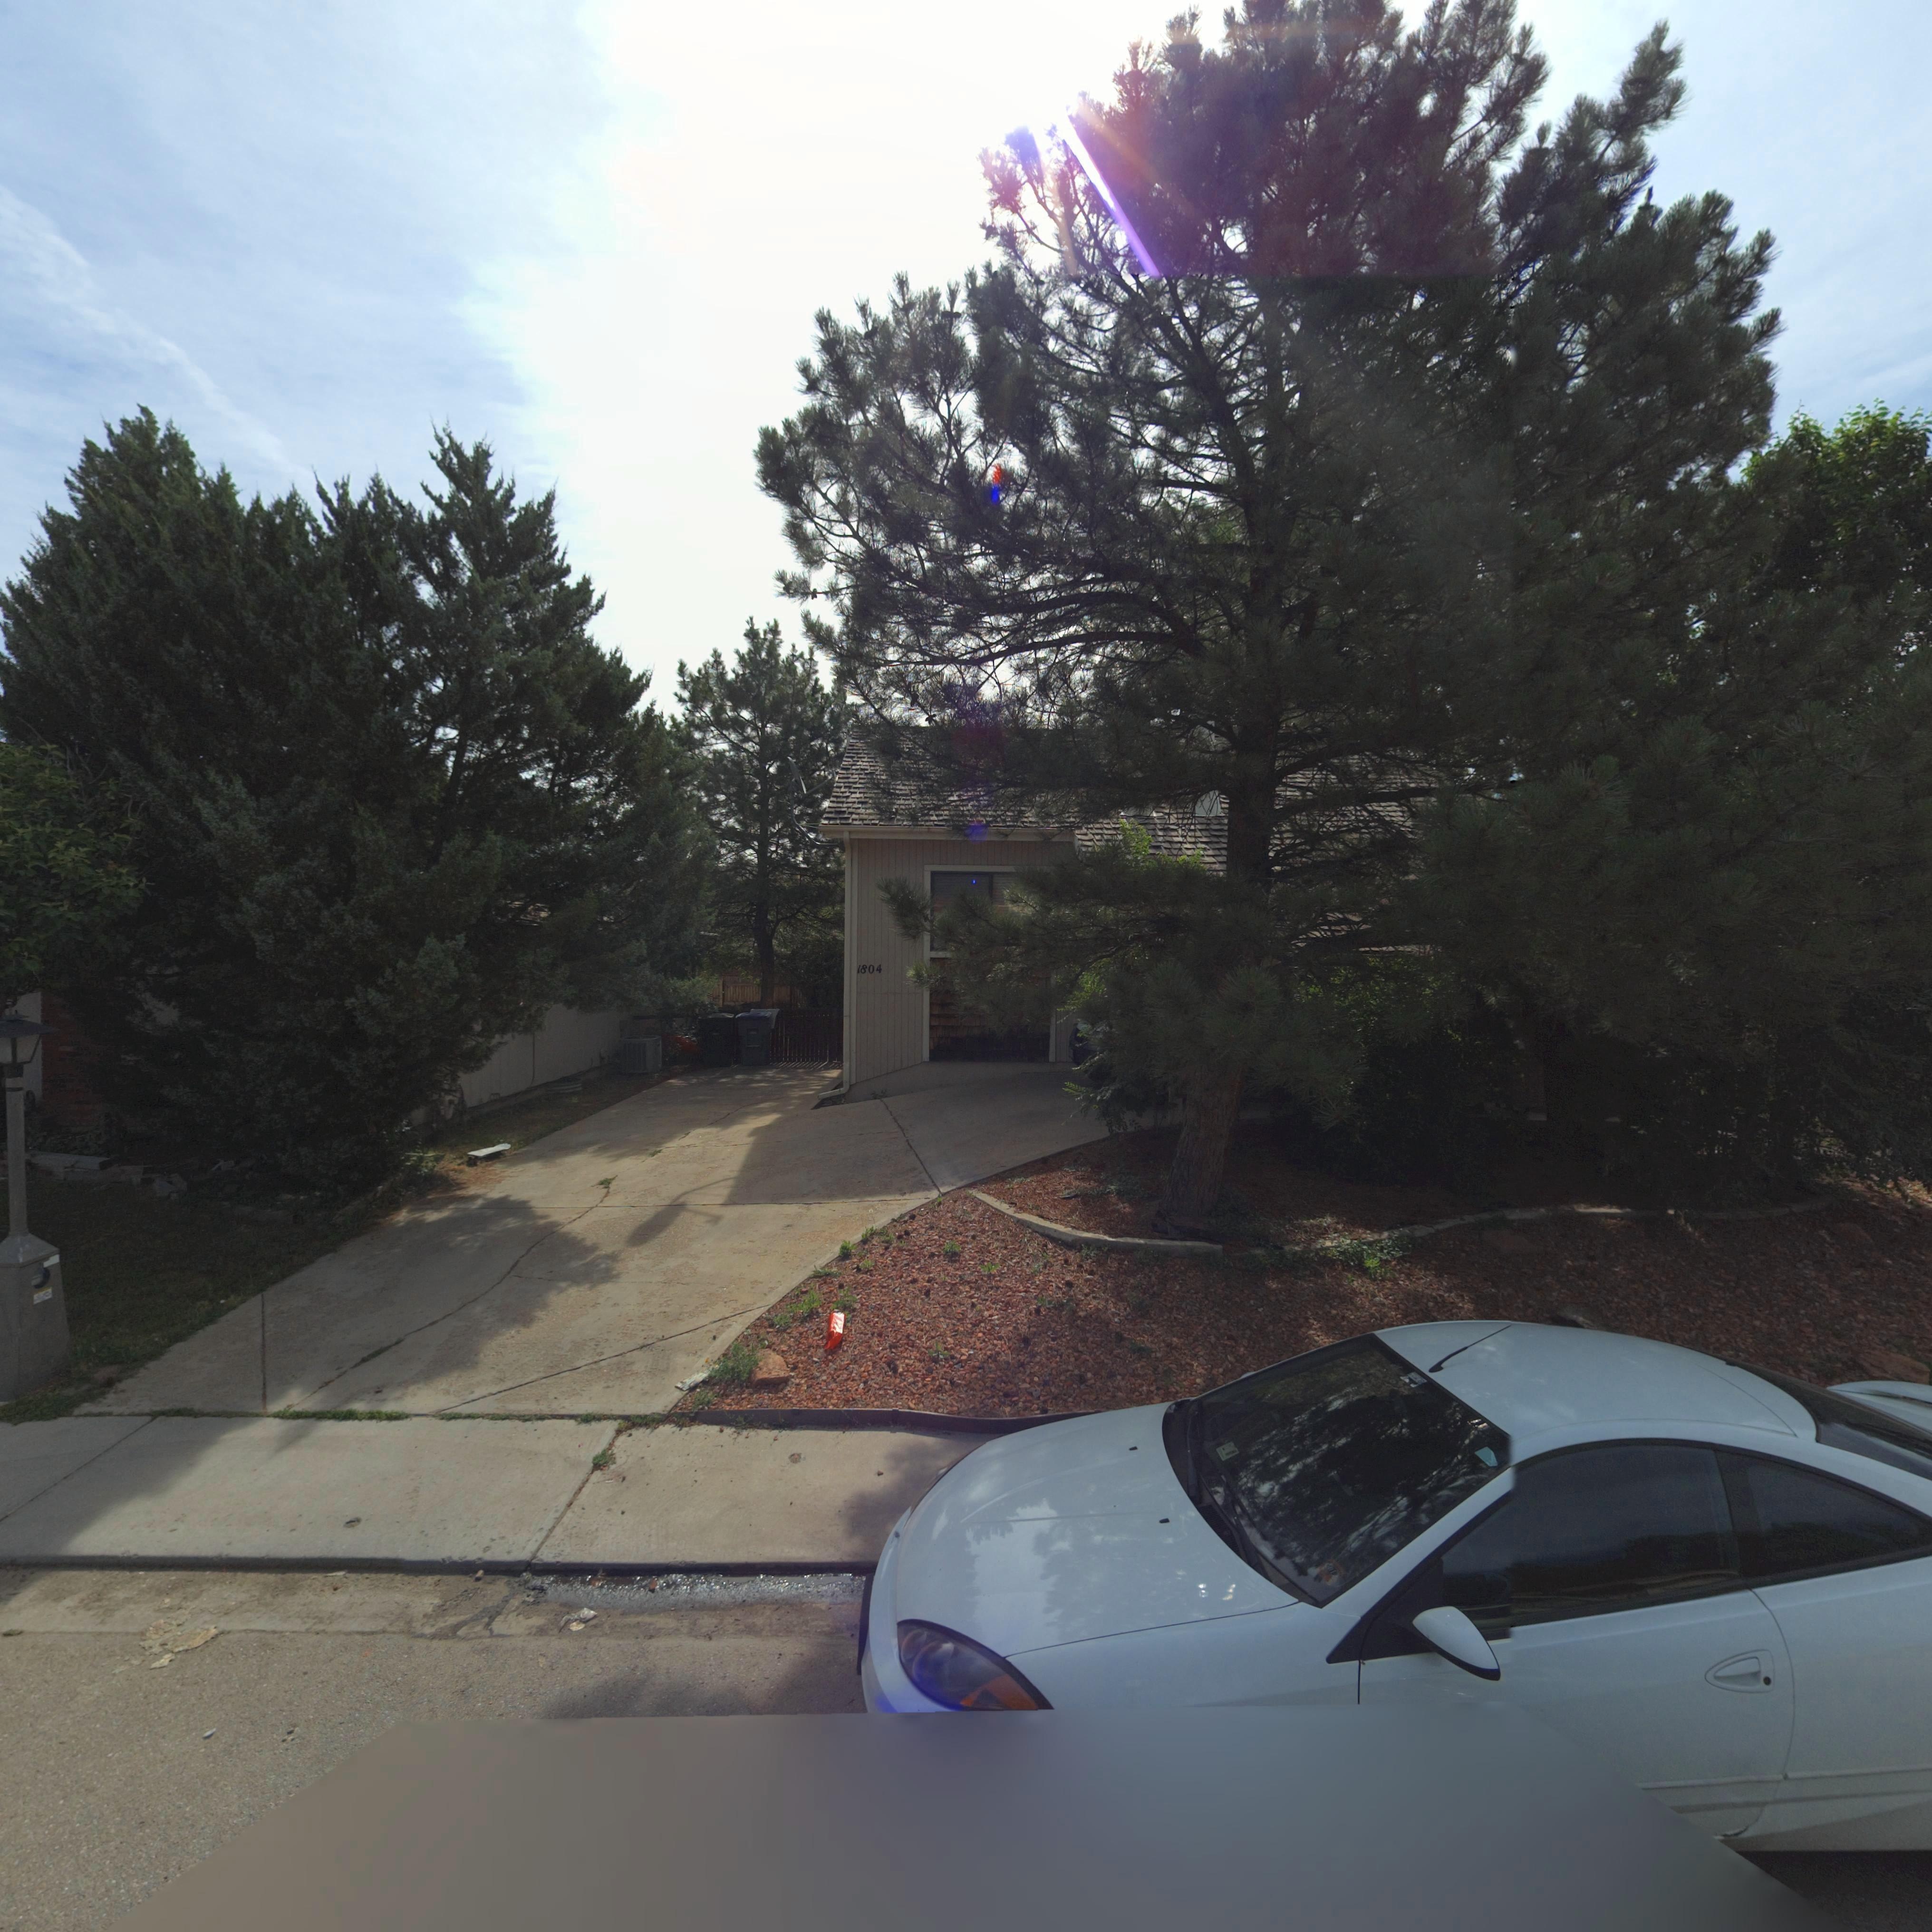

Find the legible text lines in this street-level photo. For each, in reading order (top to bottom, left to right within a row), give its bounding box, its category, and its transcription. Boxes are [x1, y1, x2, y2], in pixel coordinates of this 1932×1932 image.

[857, 964, 882, 974] StreetNumber: 1804